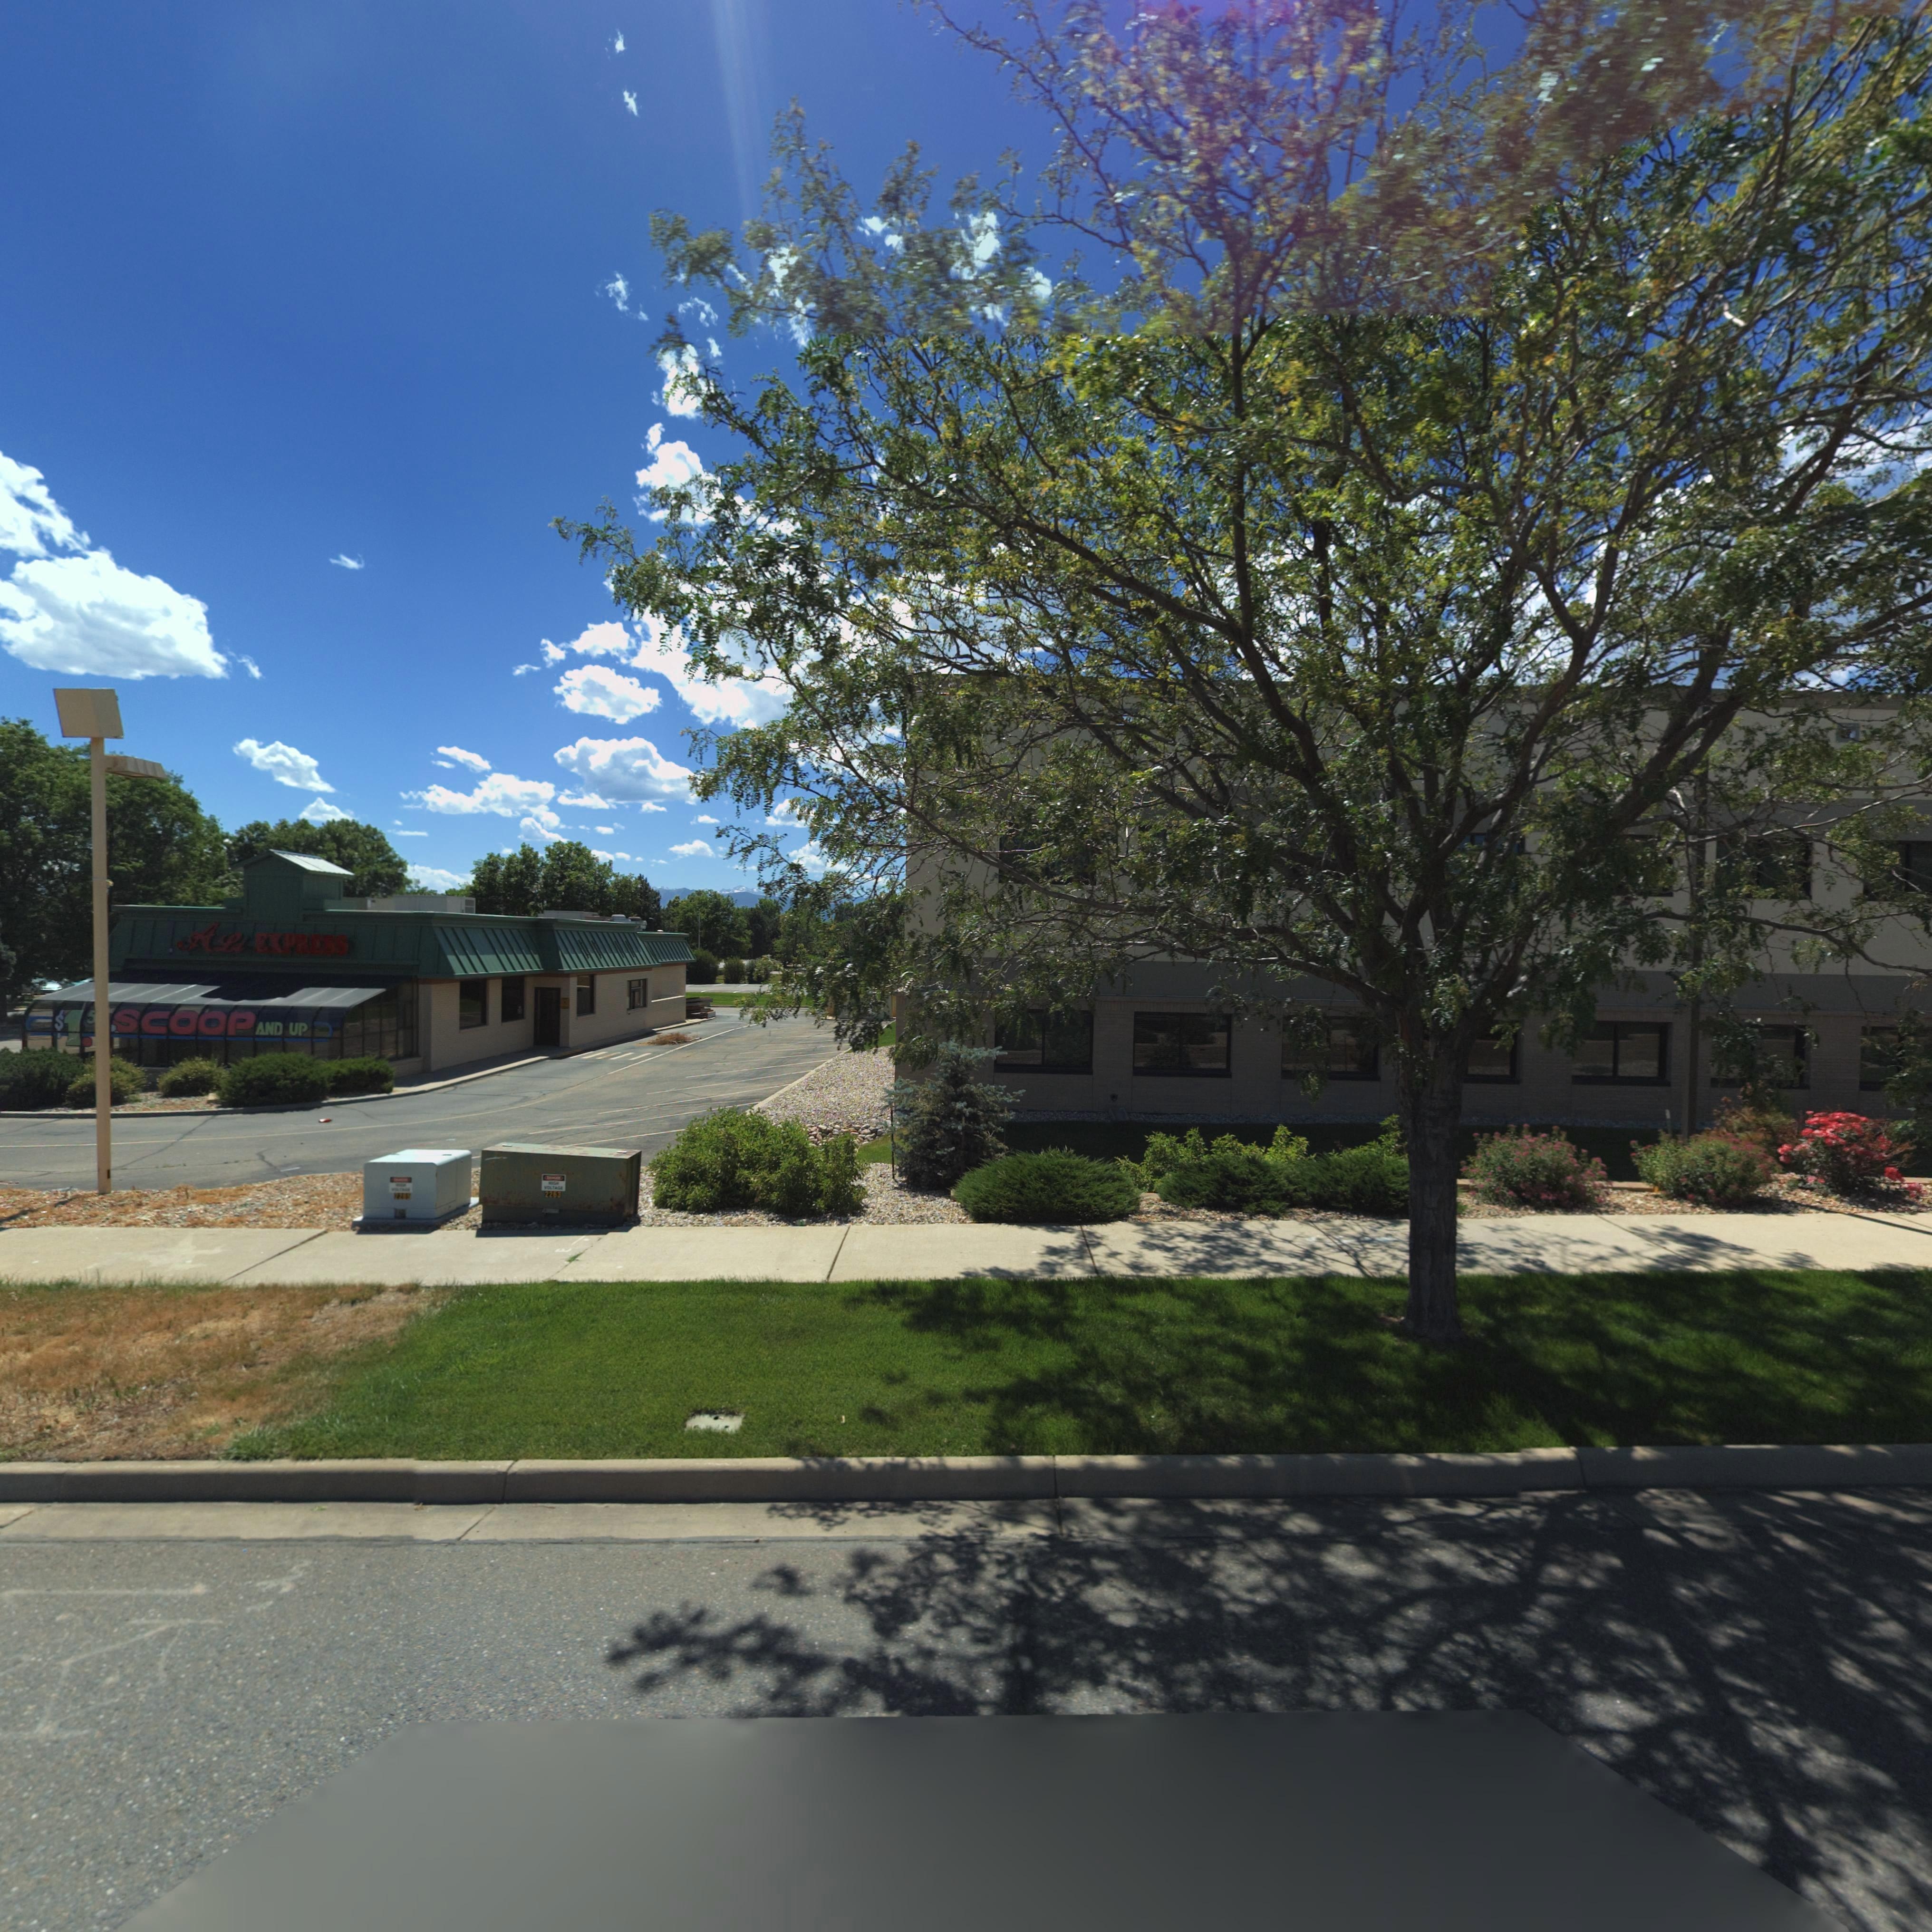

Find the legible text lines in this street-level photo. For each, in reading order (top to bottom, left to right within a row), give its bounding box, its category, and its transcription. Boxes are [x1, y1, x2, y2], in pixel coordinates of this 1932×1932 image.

[175, 921, 221, 952] BusinessName: A
[211, 931, 249, 953] BusinessName: Li
[254, 931, 348, 956] BusinessName: EXPRESS